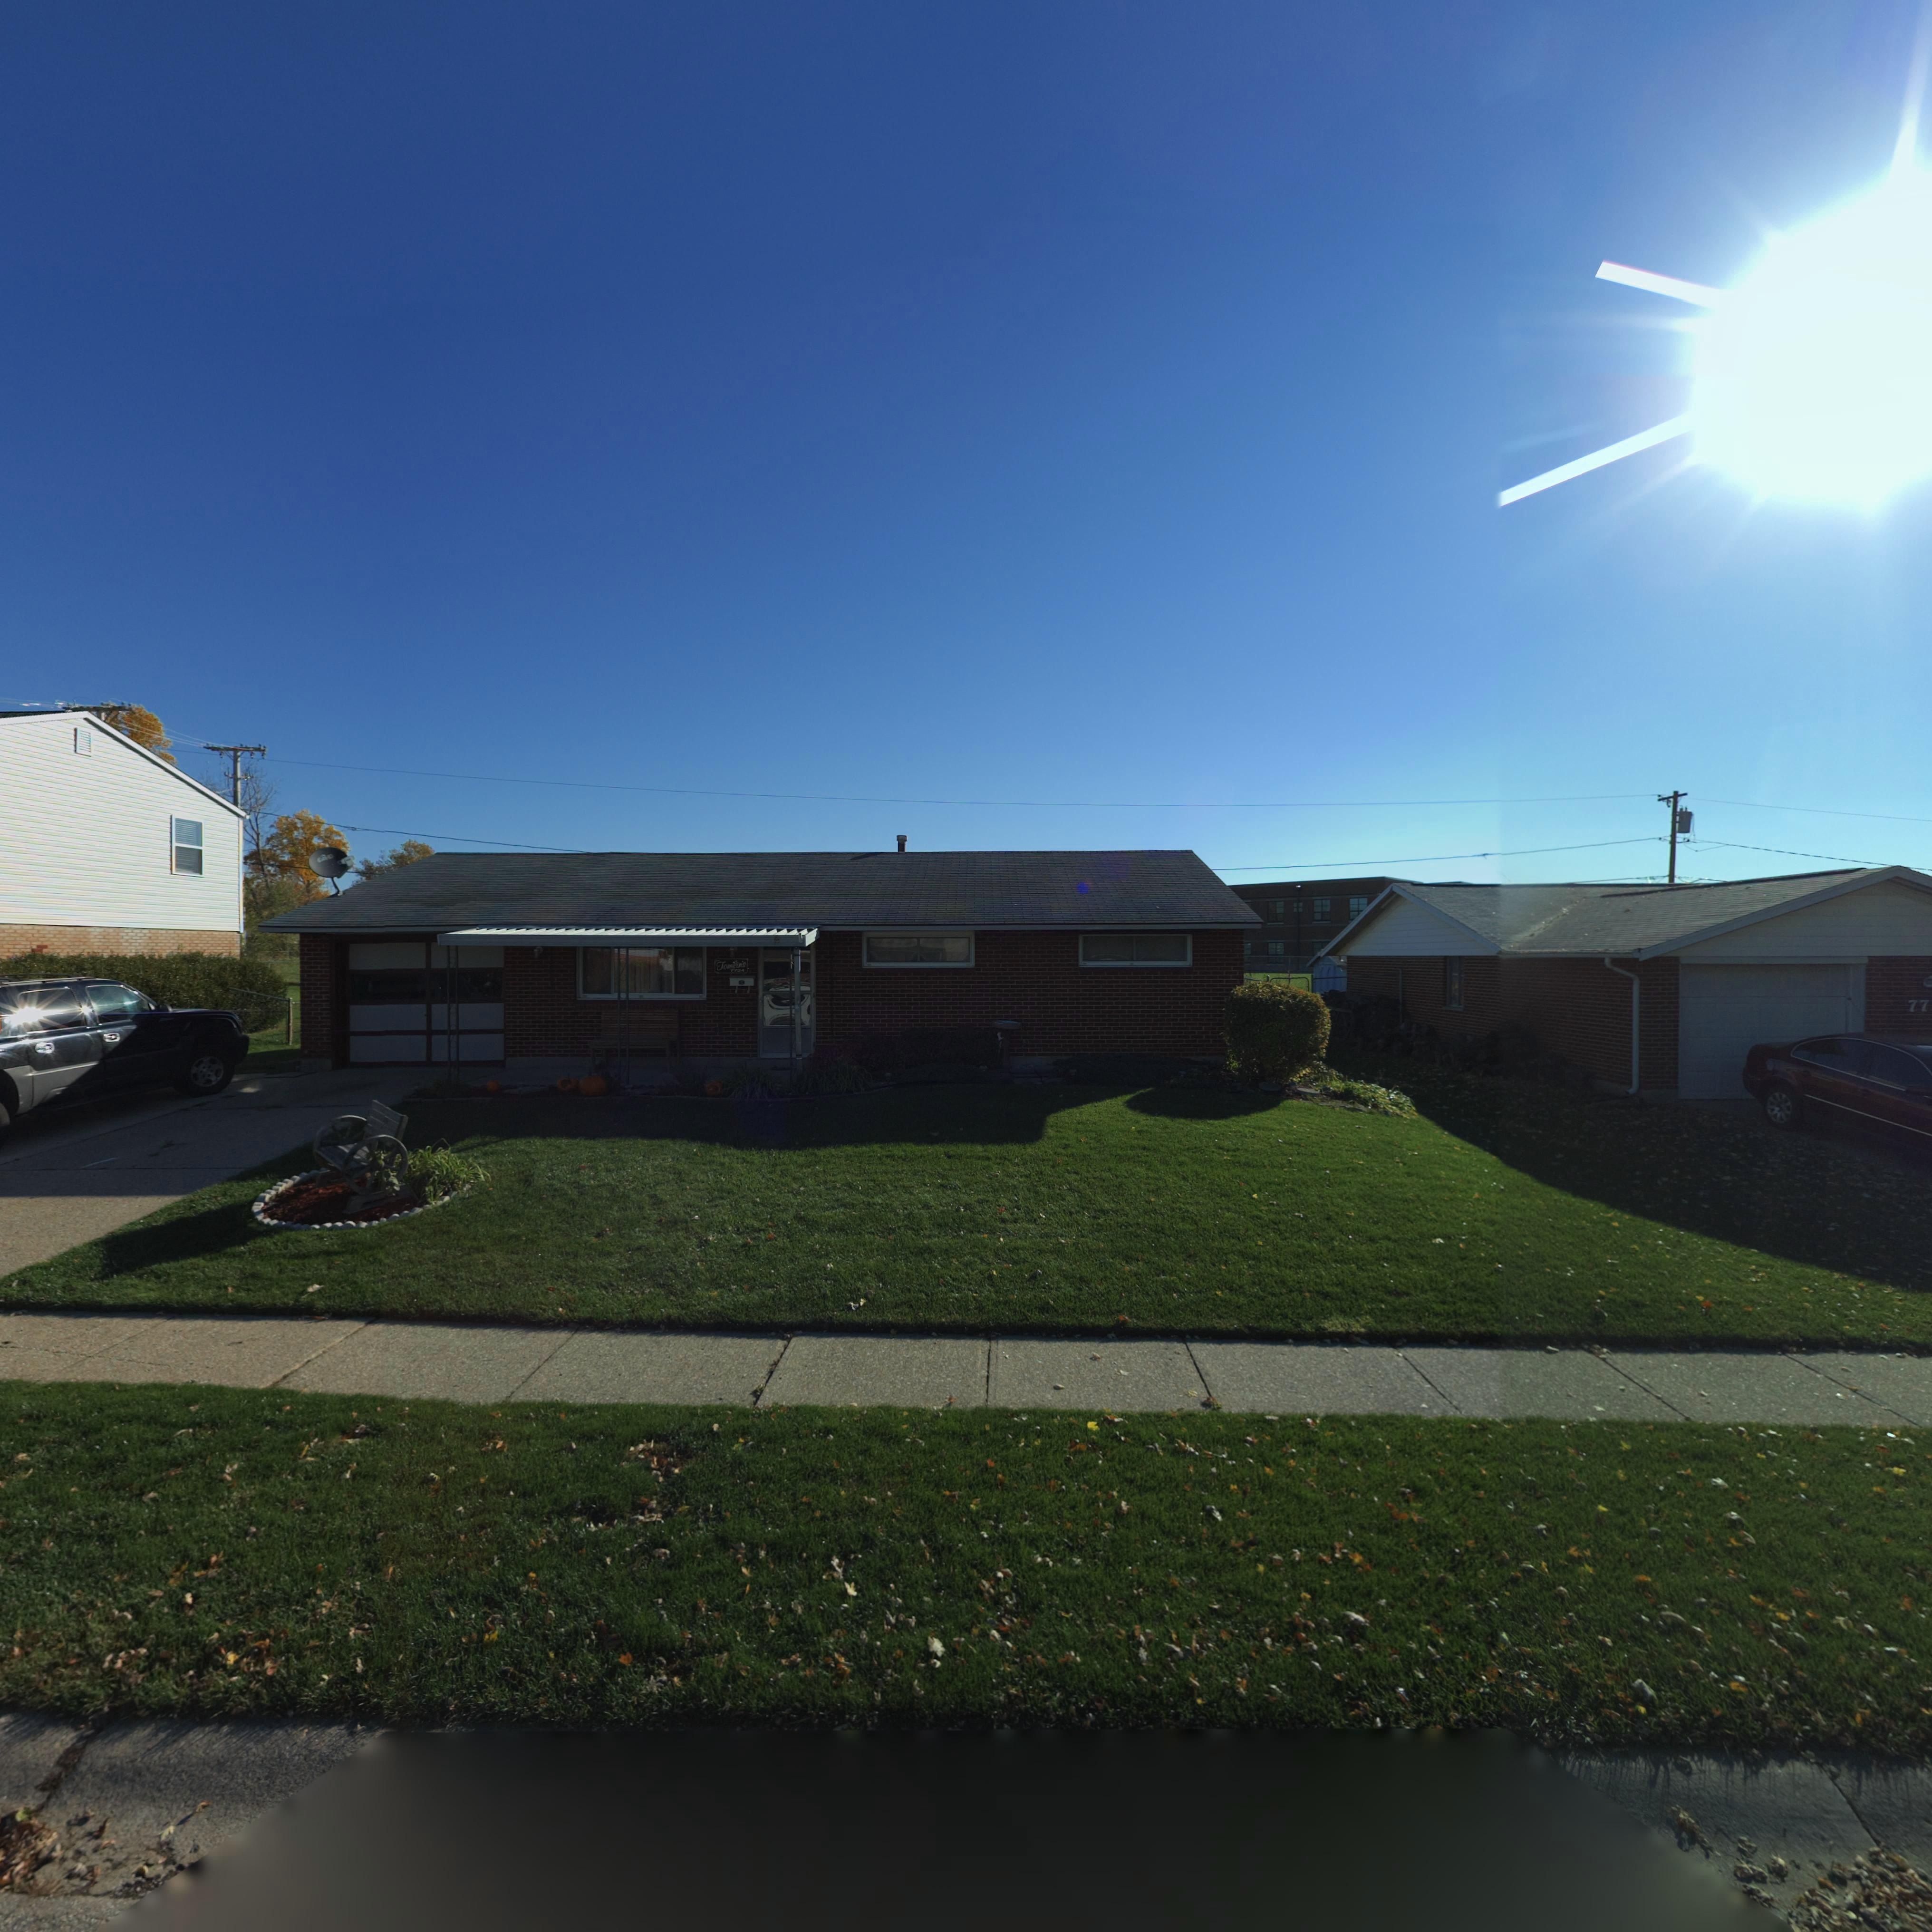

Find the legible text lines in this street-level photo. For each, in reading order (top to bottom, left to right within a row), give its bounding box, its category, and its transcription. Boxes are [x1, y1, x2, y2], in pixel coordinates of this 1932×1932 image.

[729, 968, 745, 972] StreetNumber: 7724
[1907, 999, 1930, 1013] StreetNumber: 77